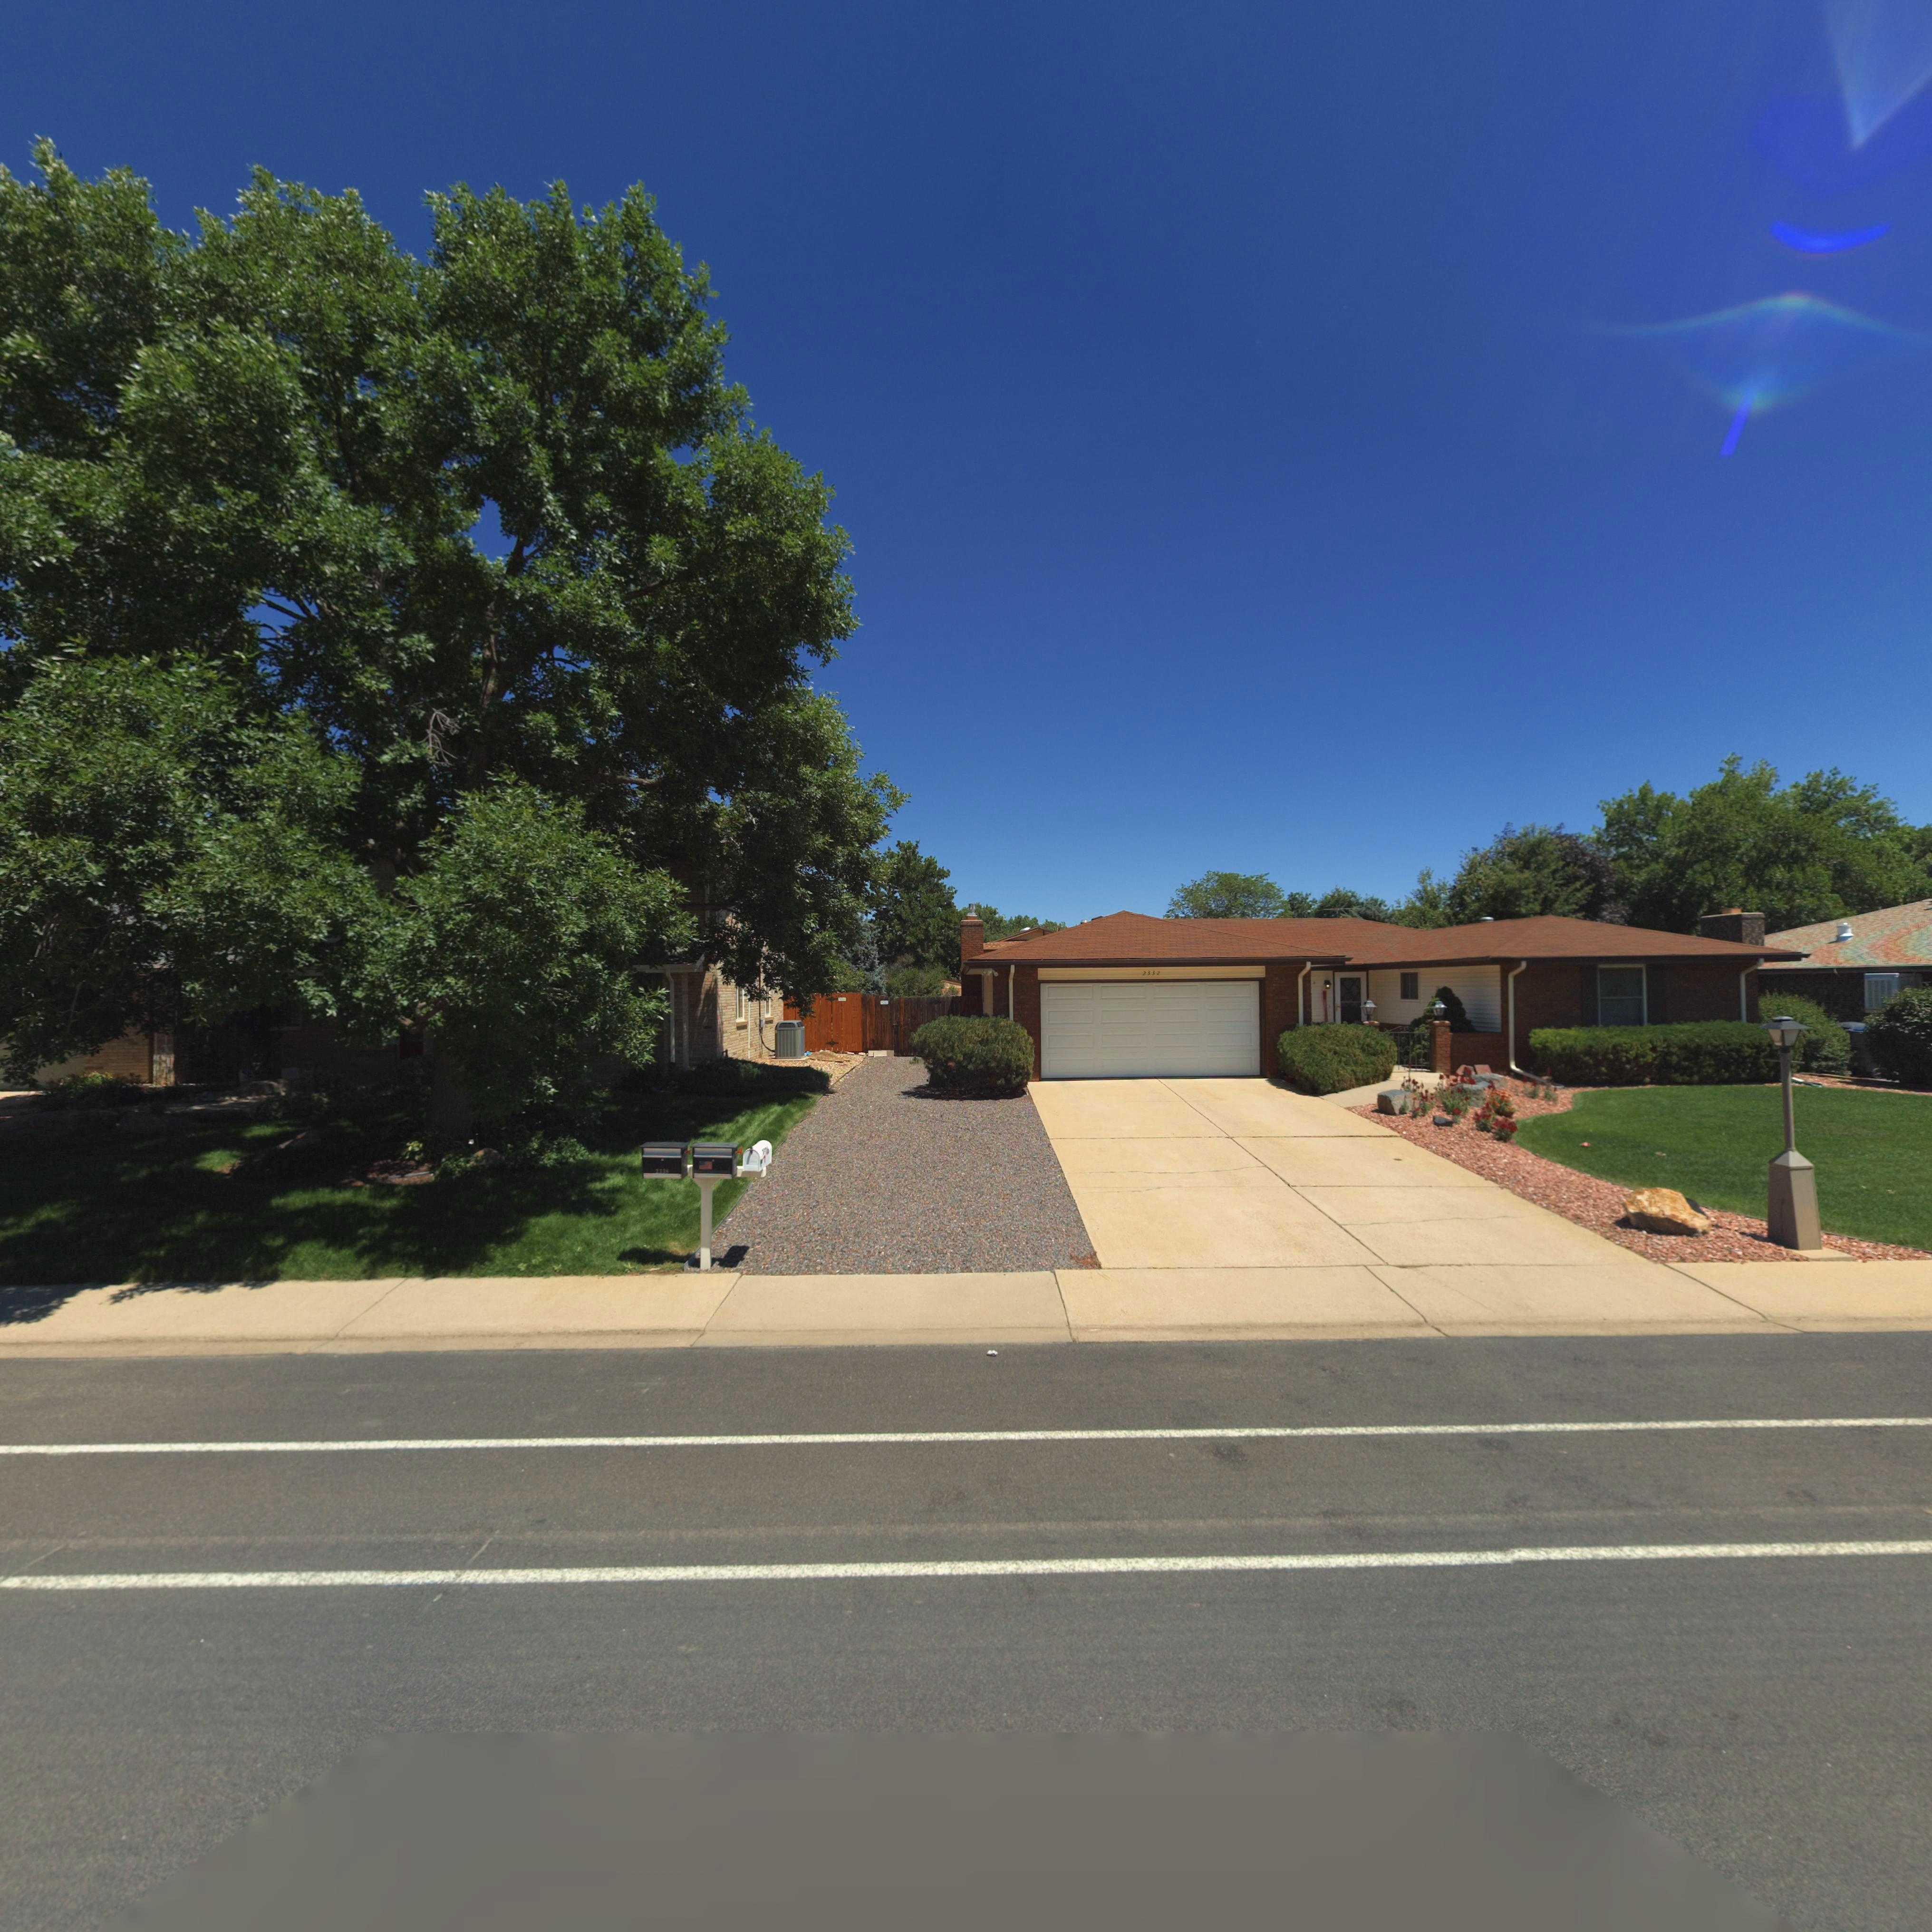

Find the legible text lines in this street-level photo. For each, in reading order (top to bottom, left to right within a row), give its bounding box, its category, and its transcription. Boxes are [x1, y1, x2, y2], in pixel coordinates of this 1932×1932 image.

[1142, 970, 1160, 975] StreetNumber: 2332
[656, 1169, 669, 1173] StreetNumber: 233*